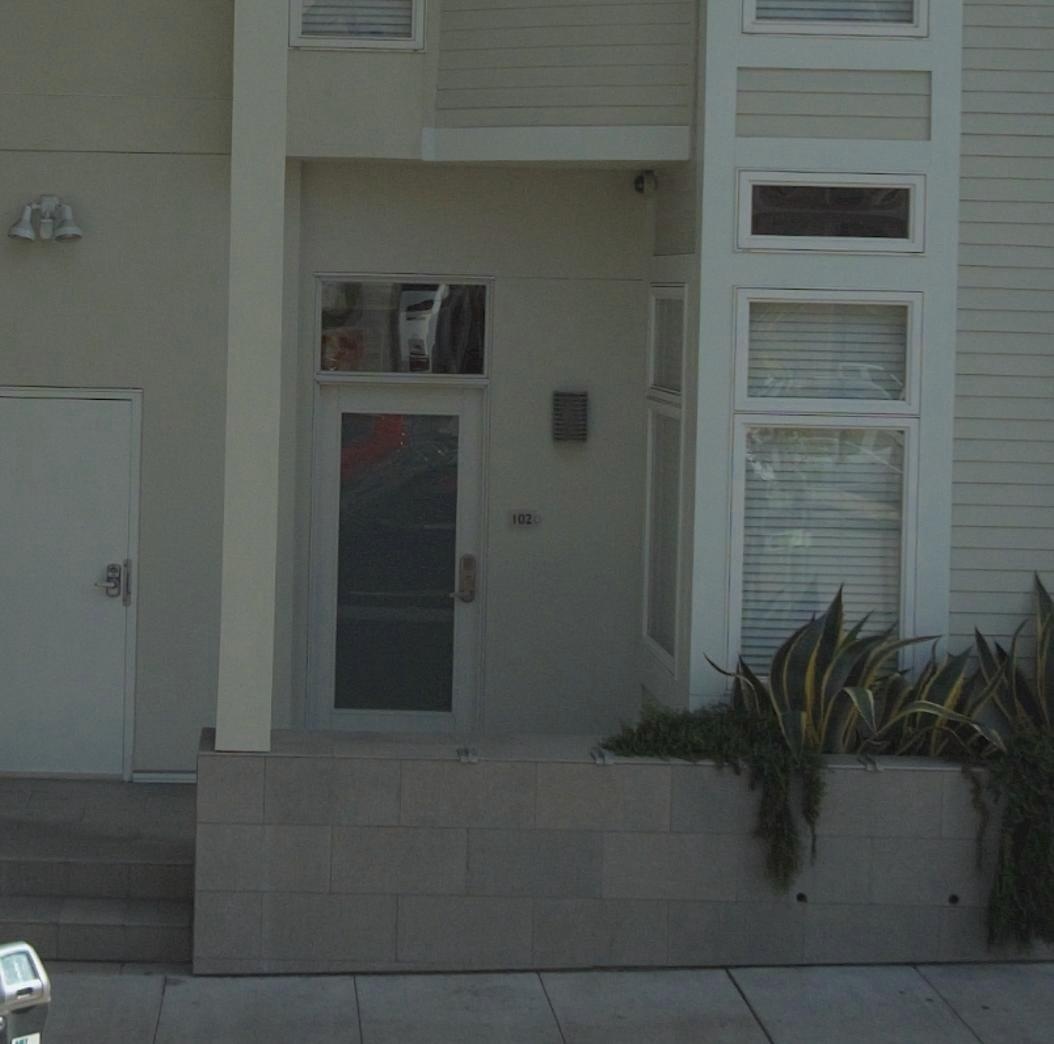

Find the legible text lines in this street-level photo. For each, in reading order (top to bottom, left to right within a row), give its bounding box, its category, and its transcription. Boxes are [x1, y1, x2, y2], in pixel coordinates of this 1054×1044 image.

[510, 511, 534, 527] StreetNumber: 102